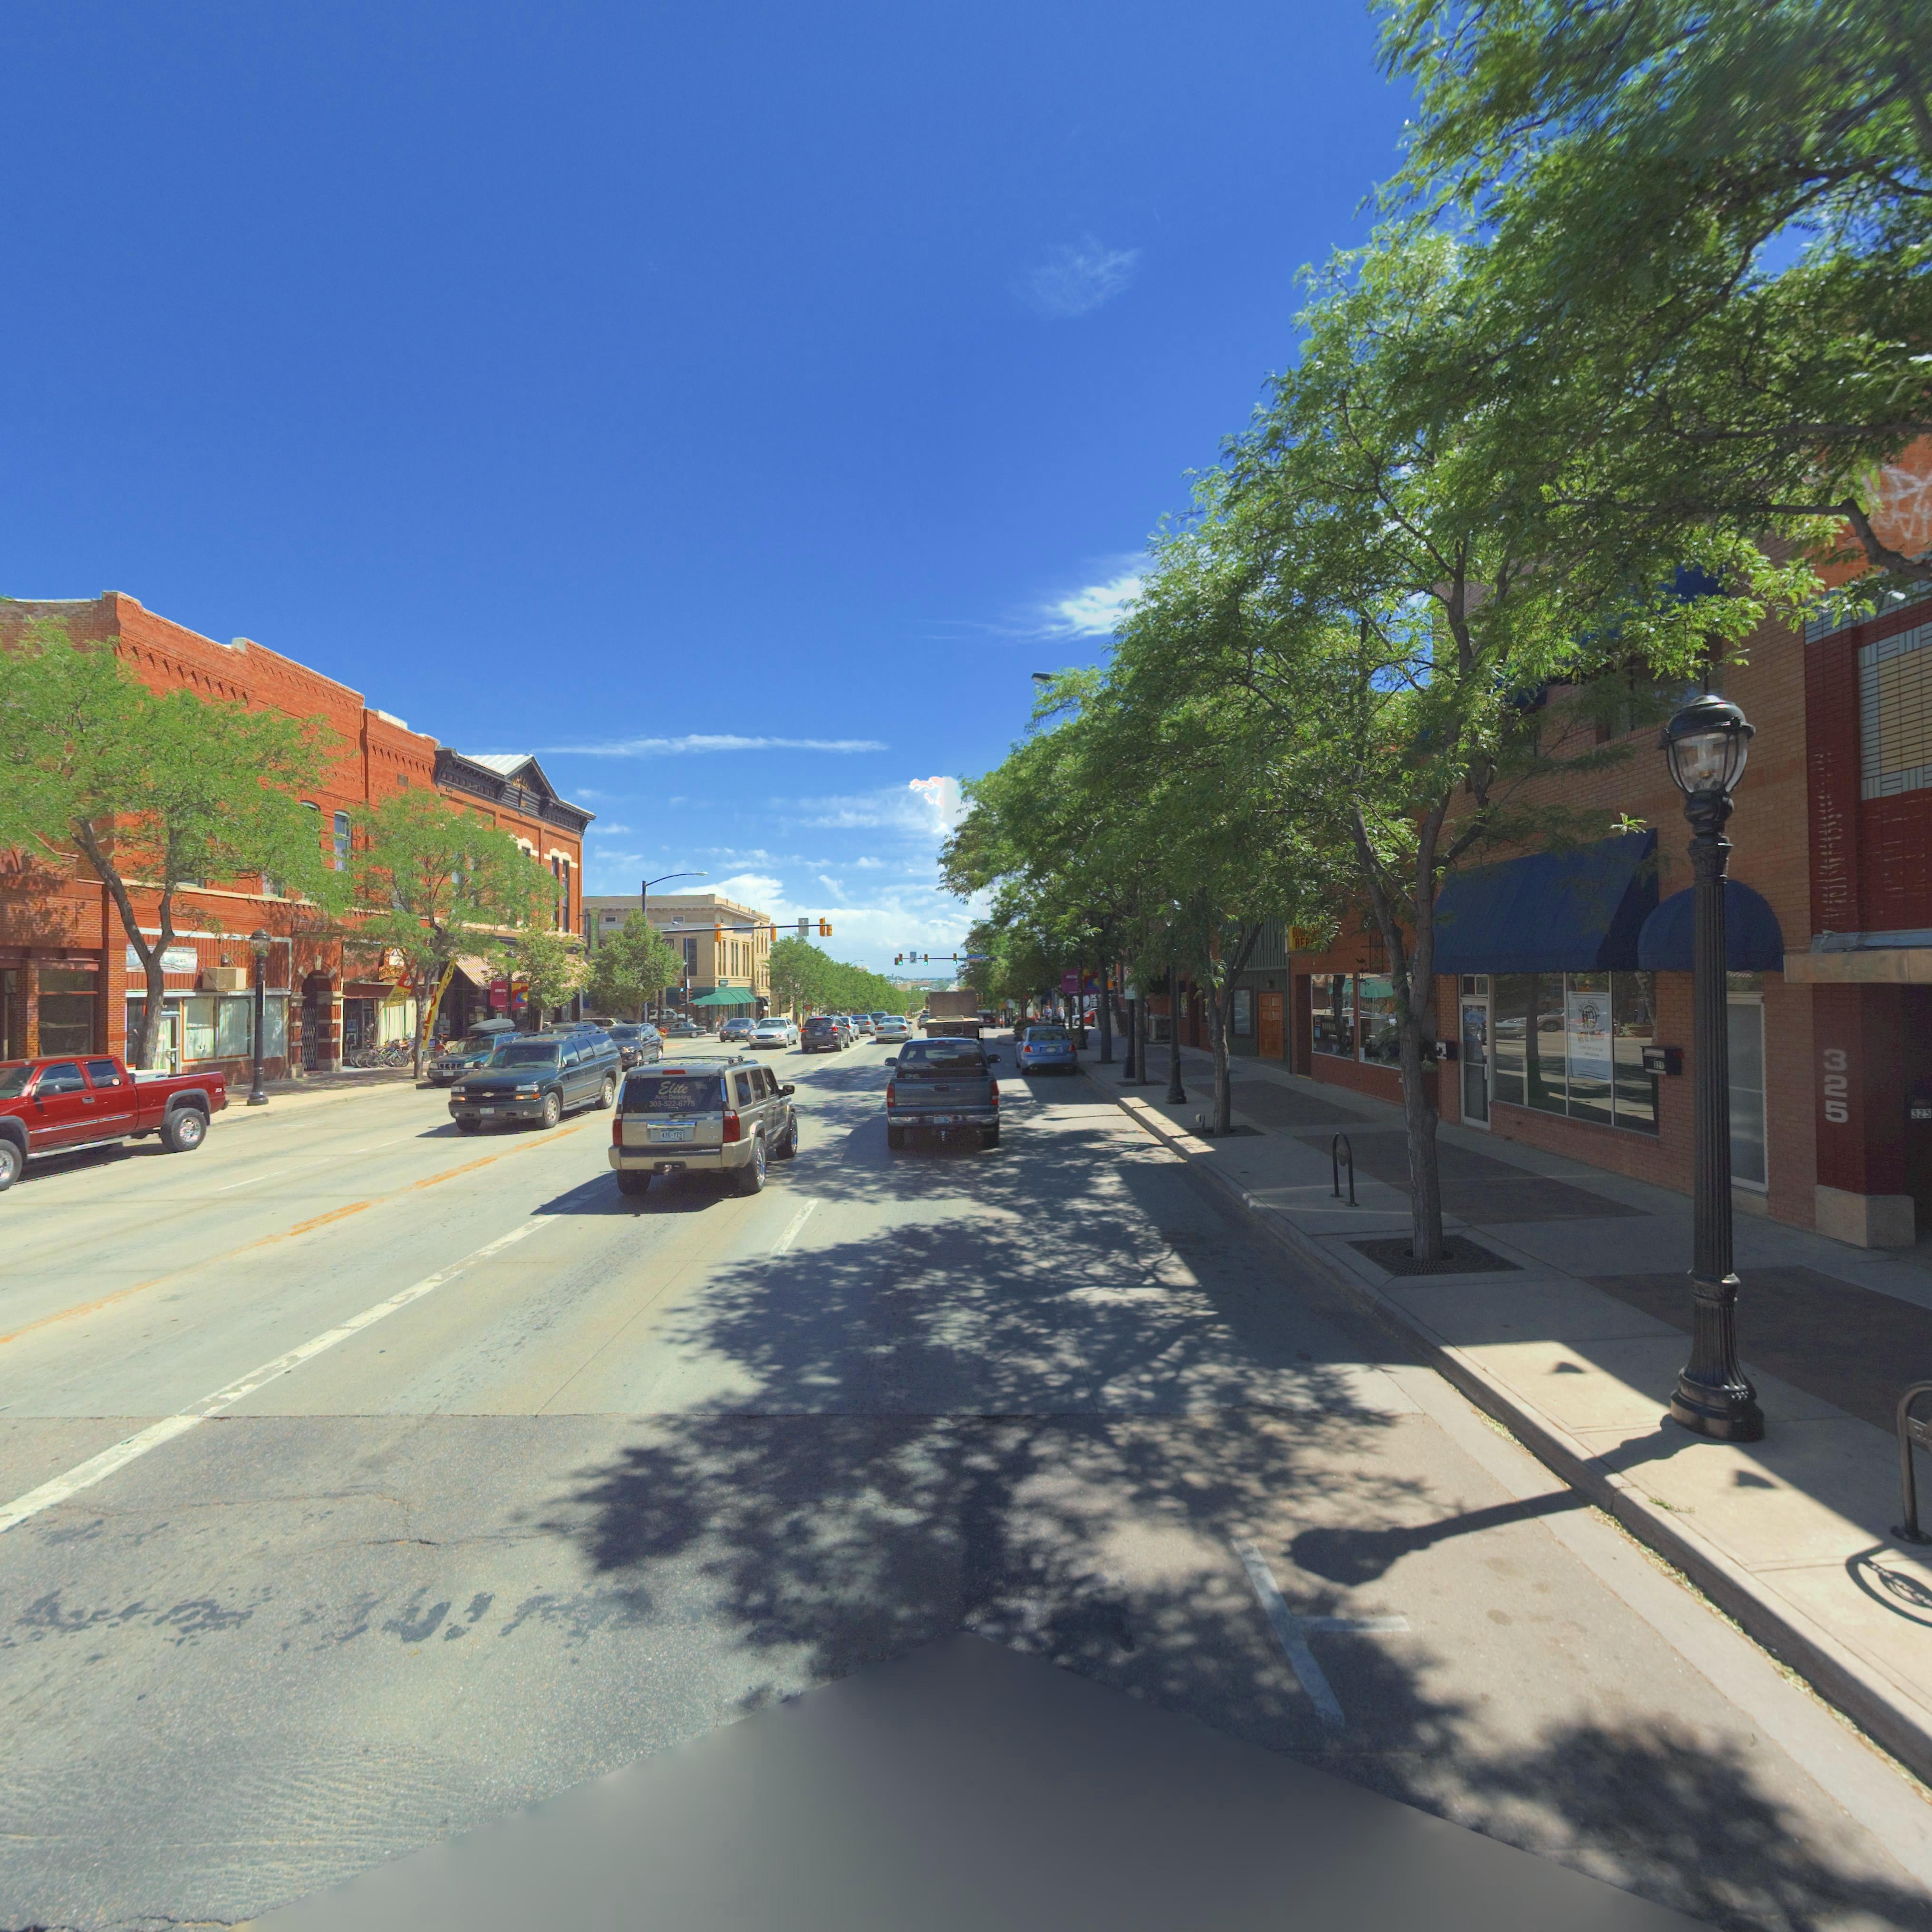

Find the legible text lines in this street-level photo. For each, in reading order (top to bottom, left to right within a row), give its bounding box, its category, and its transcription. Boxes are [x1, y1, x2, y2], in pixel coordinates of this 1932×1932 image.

[592, 913, 598, 950] BusinessName: DICKENS
[1654, 1061, 1662, 1068] StreetNumber: 321
[1822, 1048, 1849, 1124] StreetNumber: 325
[1911, 1109, 1931, 1118] StreetNumber: 325